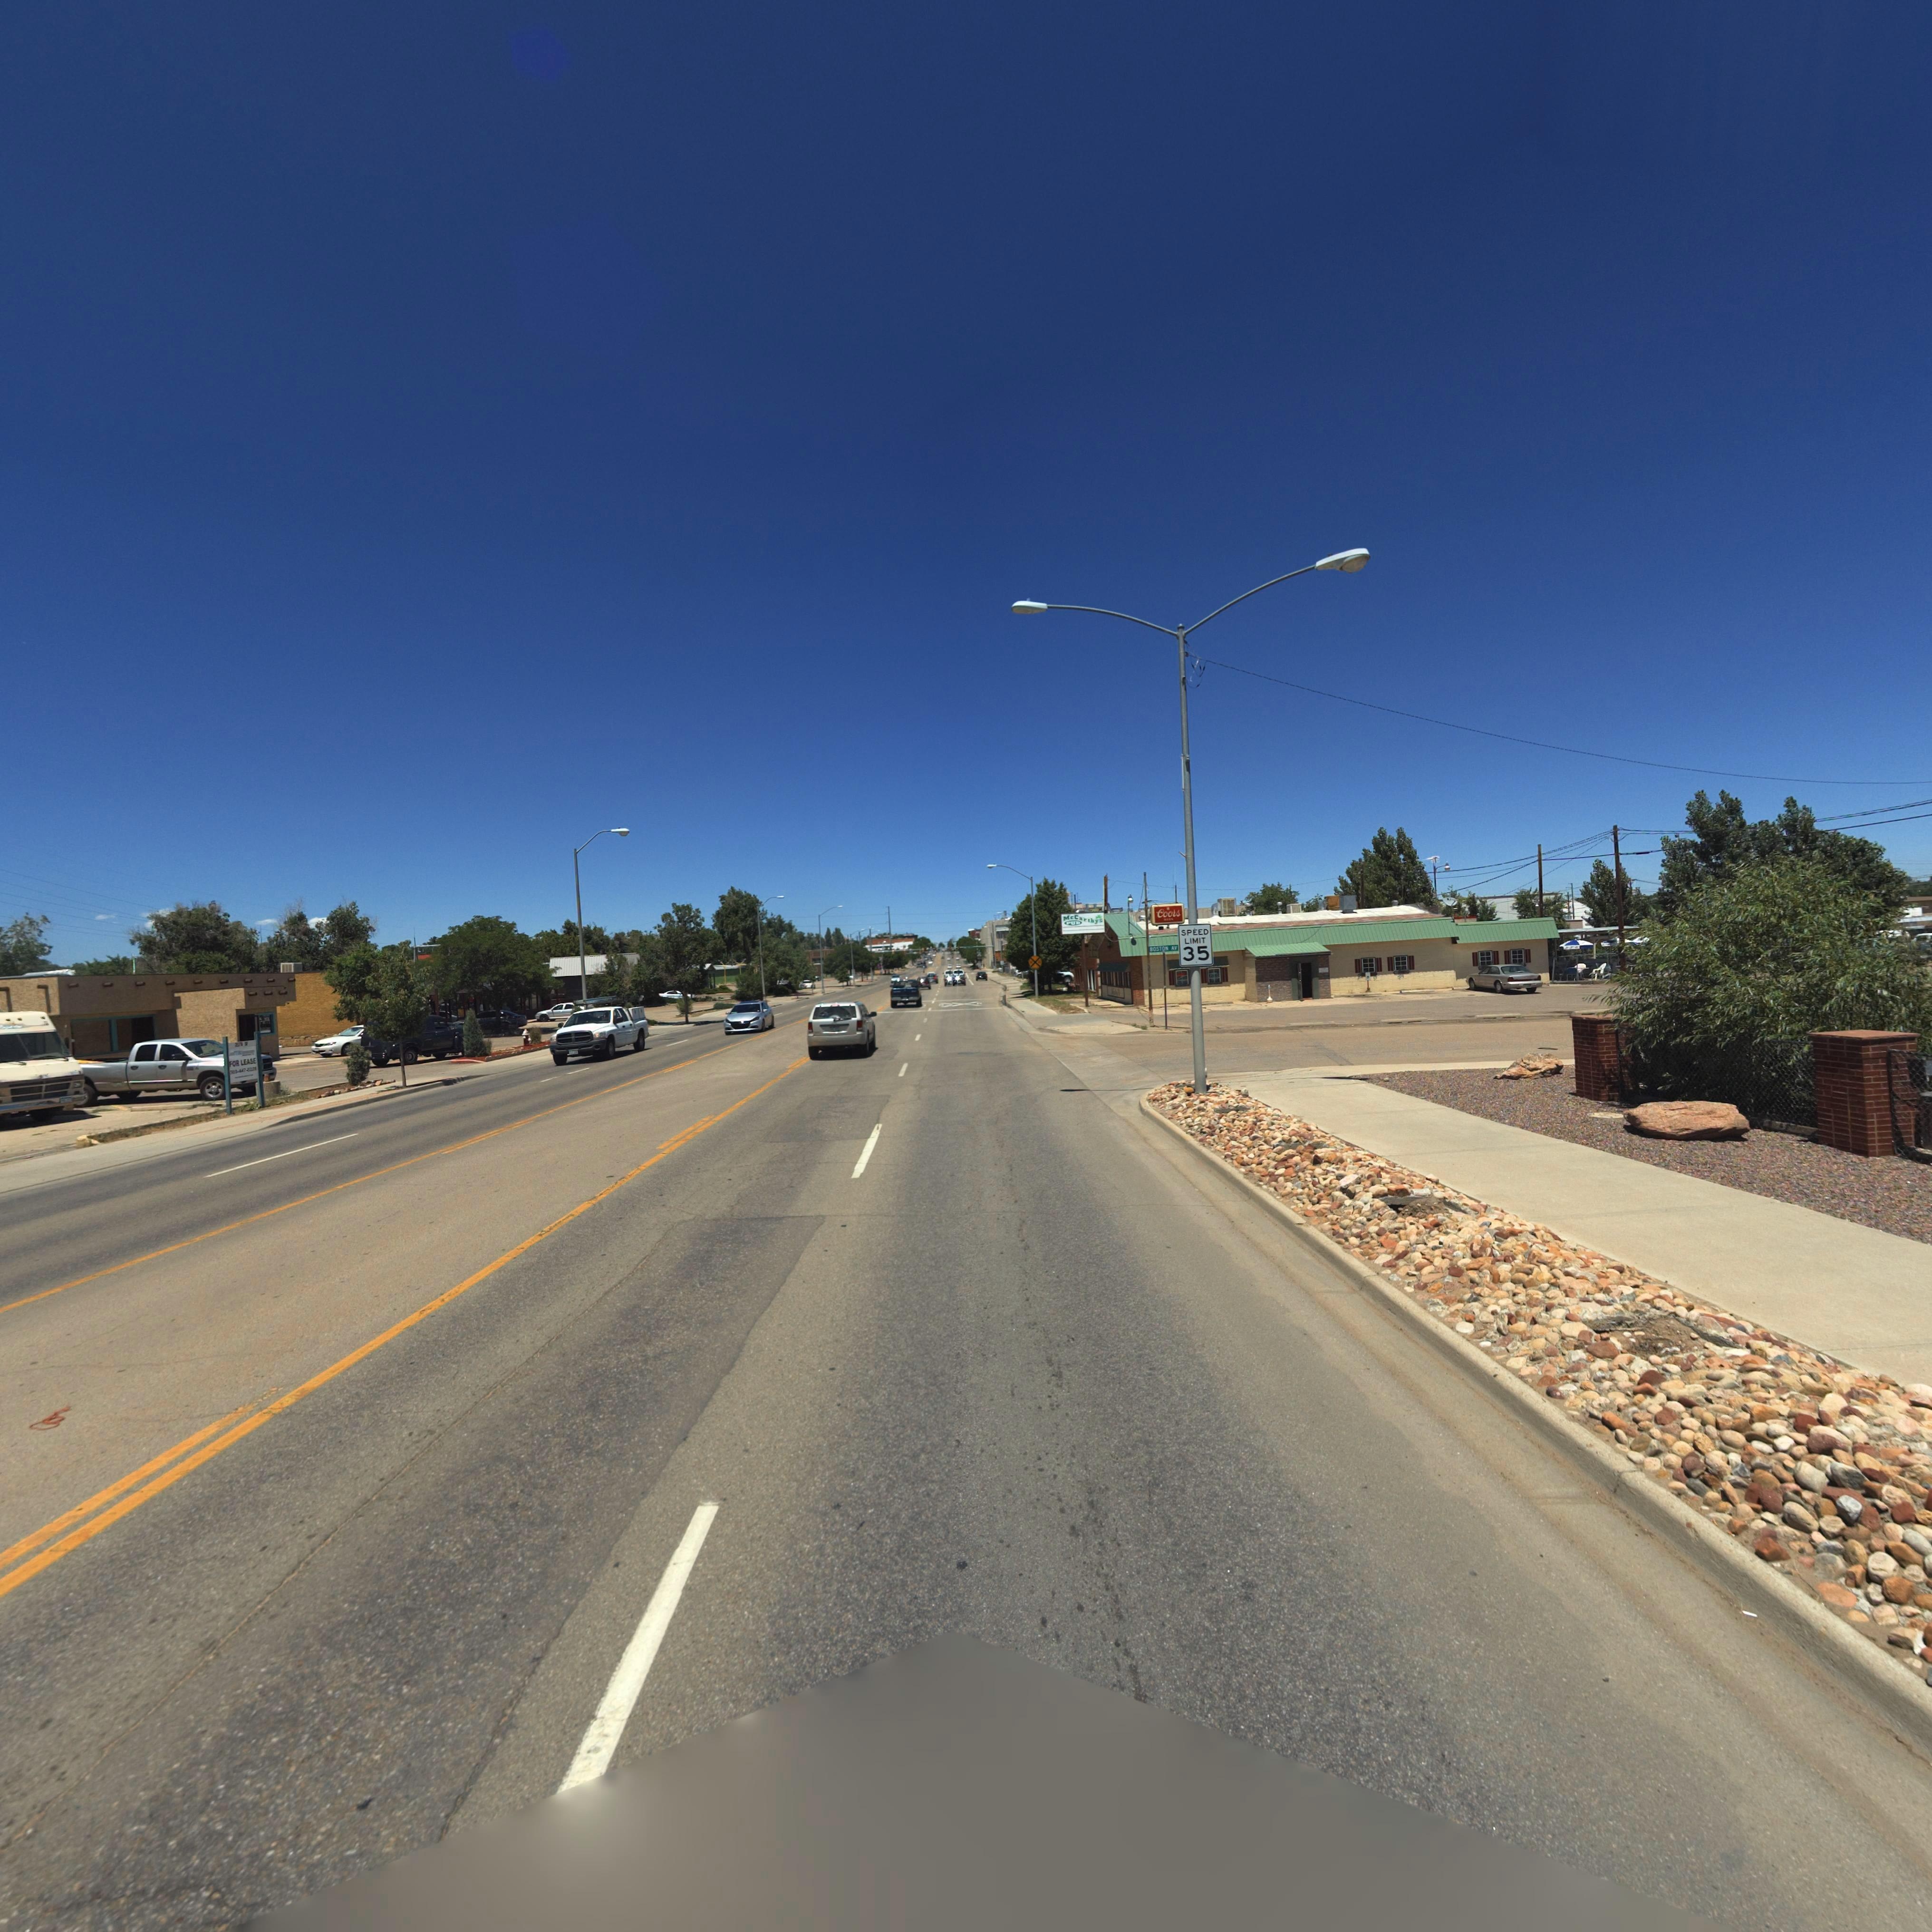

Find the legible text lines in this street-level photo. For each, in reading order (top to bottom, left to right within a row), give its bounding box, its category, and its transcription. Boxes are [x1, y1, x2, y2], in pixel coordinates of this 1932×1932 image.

[1063, 915, 1103, 924] BusinessName: McCar**ys
[1066, 921, 1081, 925] BusinessName: PU*
[1150, 945, 1178, 952] StreetName: BOSTON AV